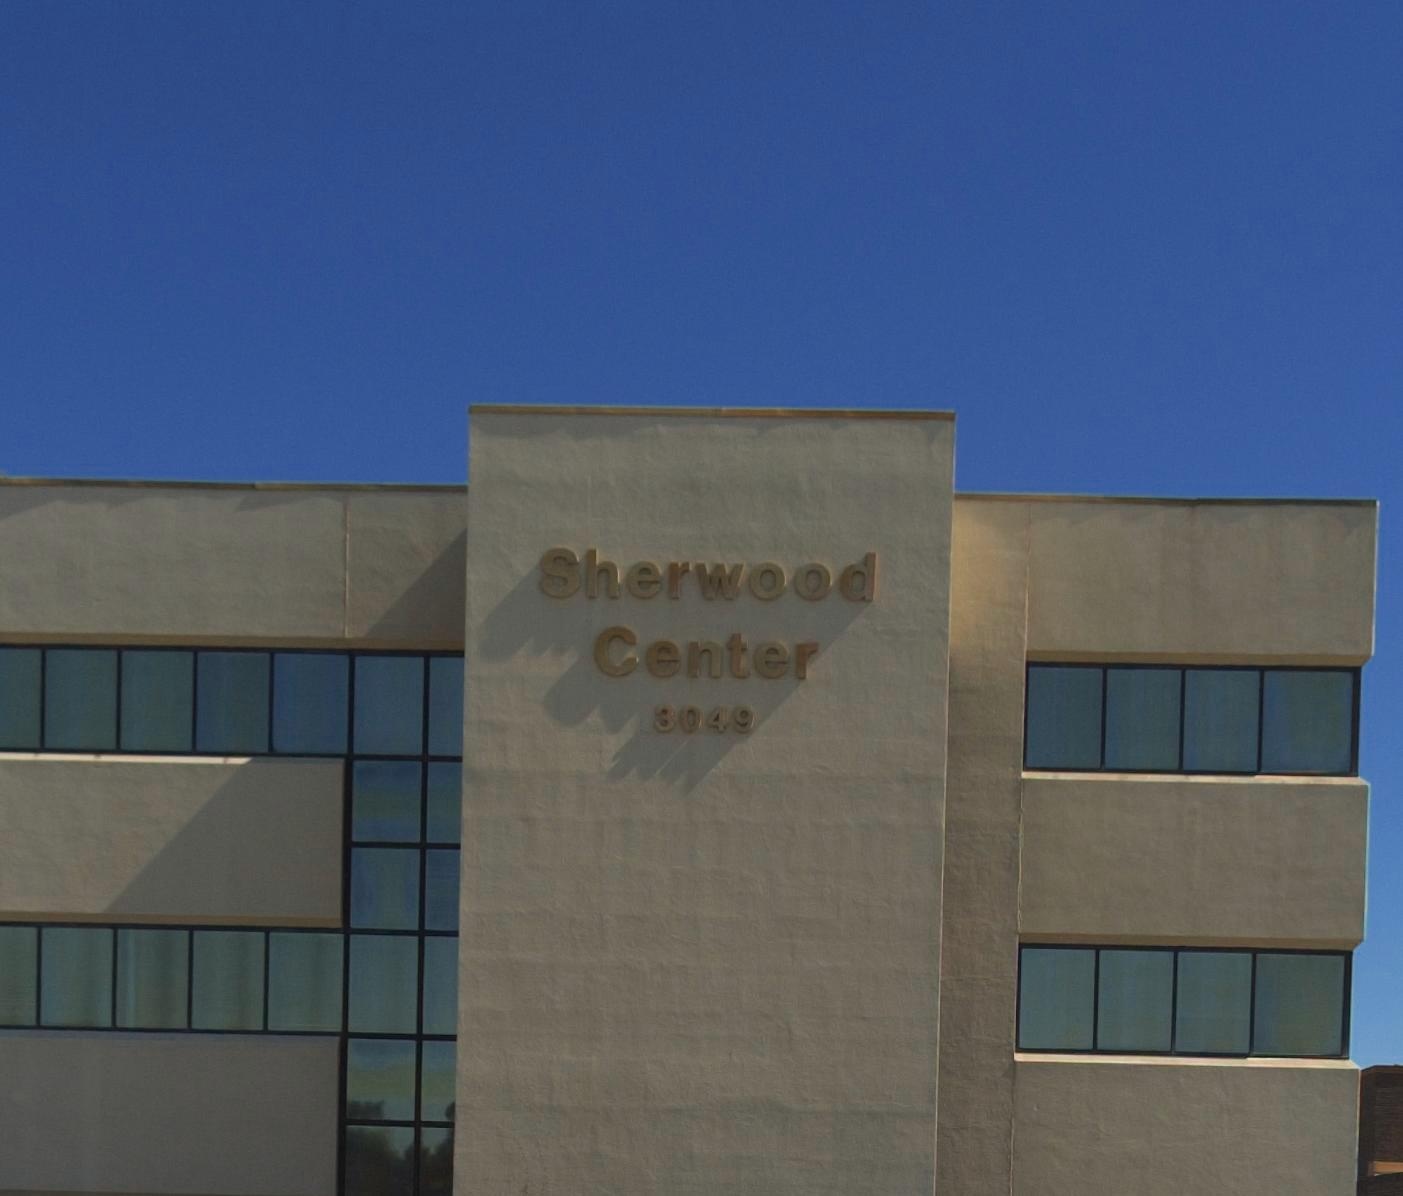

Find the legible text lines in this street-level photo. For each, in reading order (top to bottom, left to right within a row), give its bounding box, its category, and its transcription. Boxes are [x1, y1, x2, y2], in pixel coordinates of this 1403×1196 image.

[500, 500, 903, 696] BusinessName: Sherwood Center 